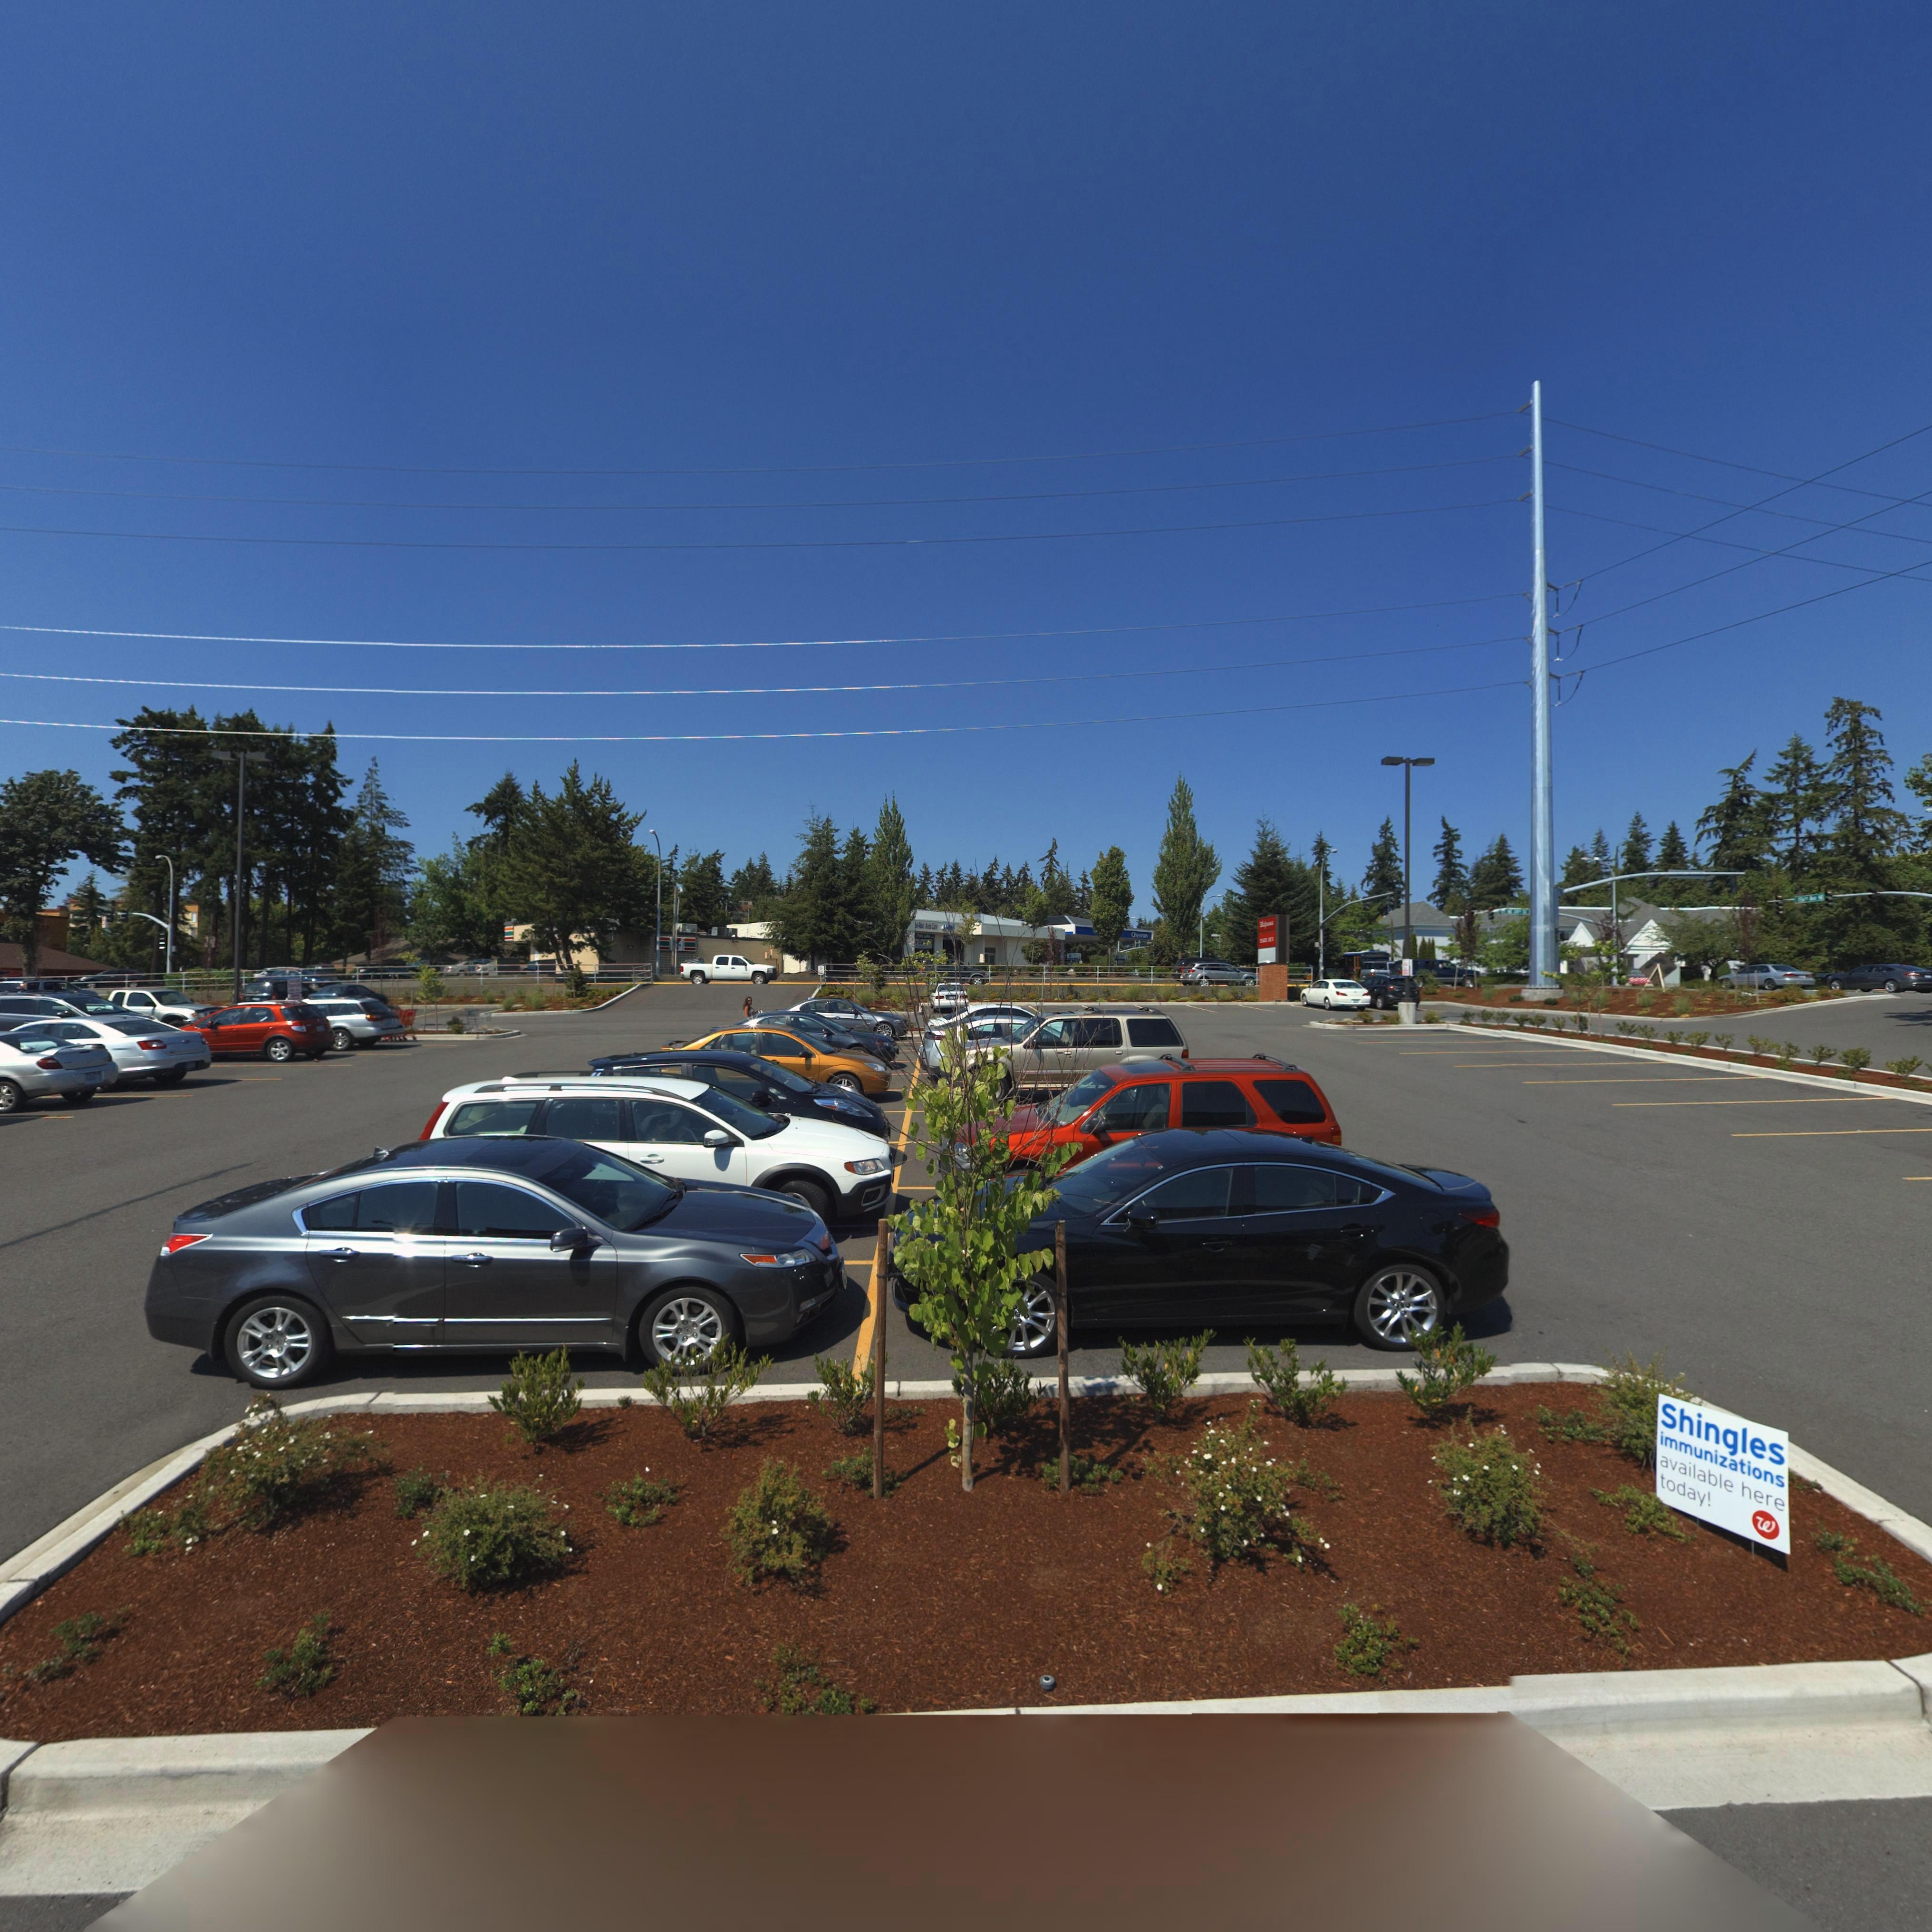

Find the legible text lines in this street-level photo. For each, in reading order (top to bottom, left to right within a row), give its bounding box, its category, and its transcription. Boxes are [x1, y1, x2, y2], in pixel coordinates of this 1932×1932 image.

[1662, 1402, 1784, 1467] BusinessName: Shingles